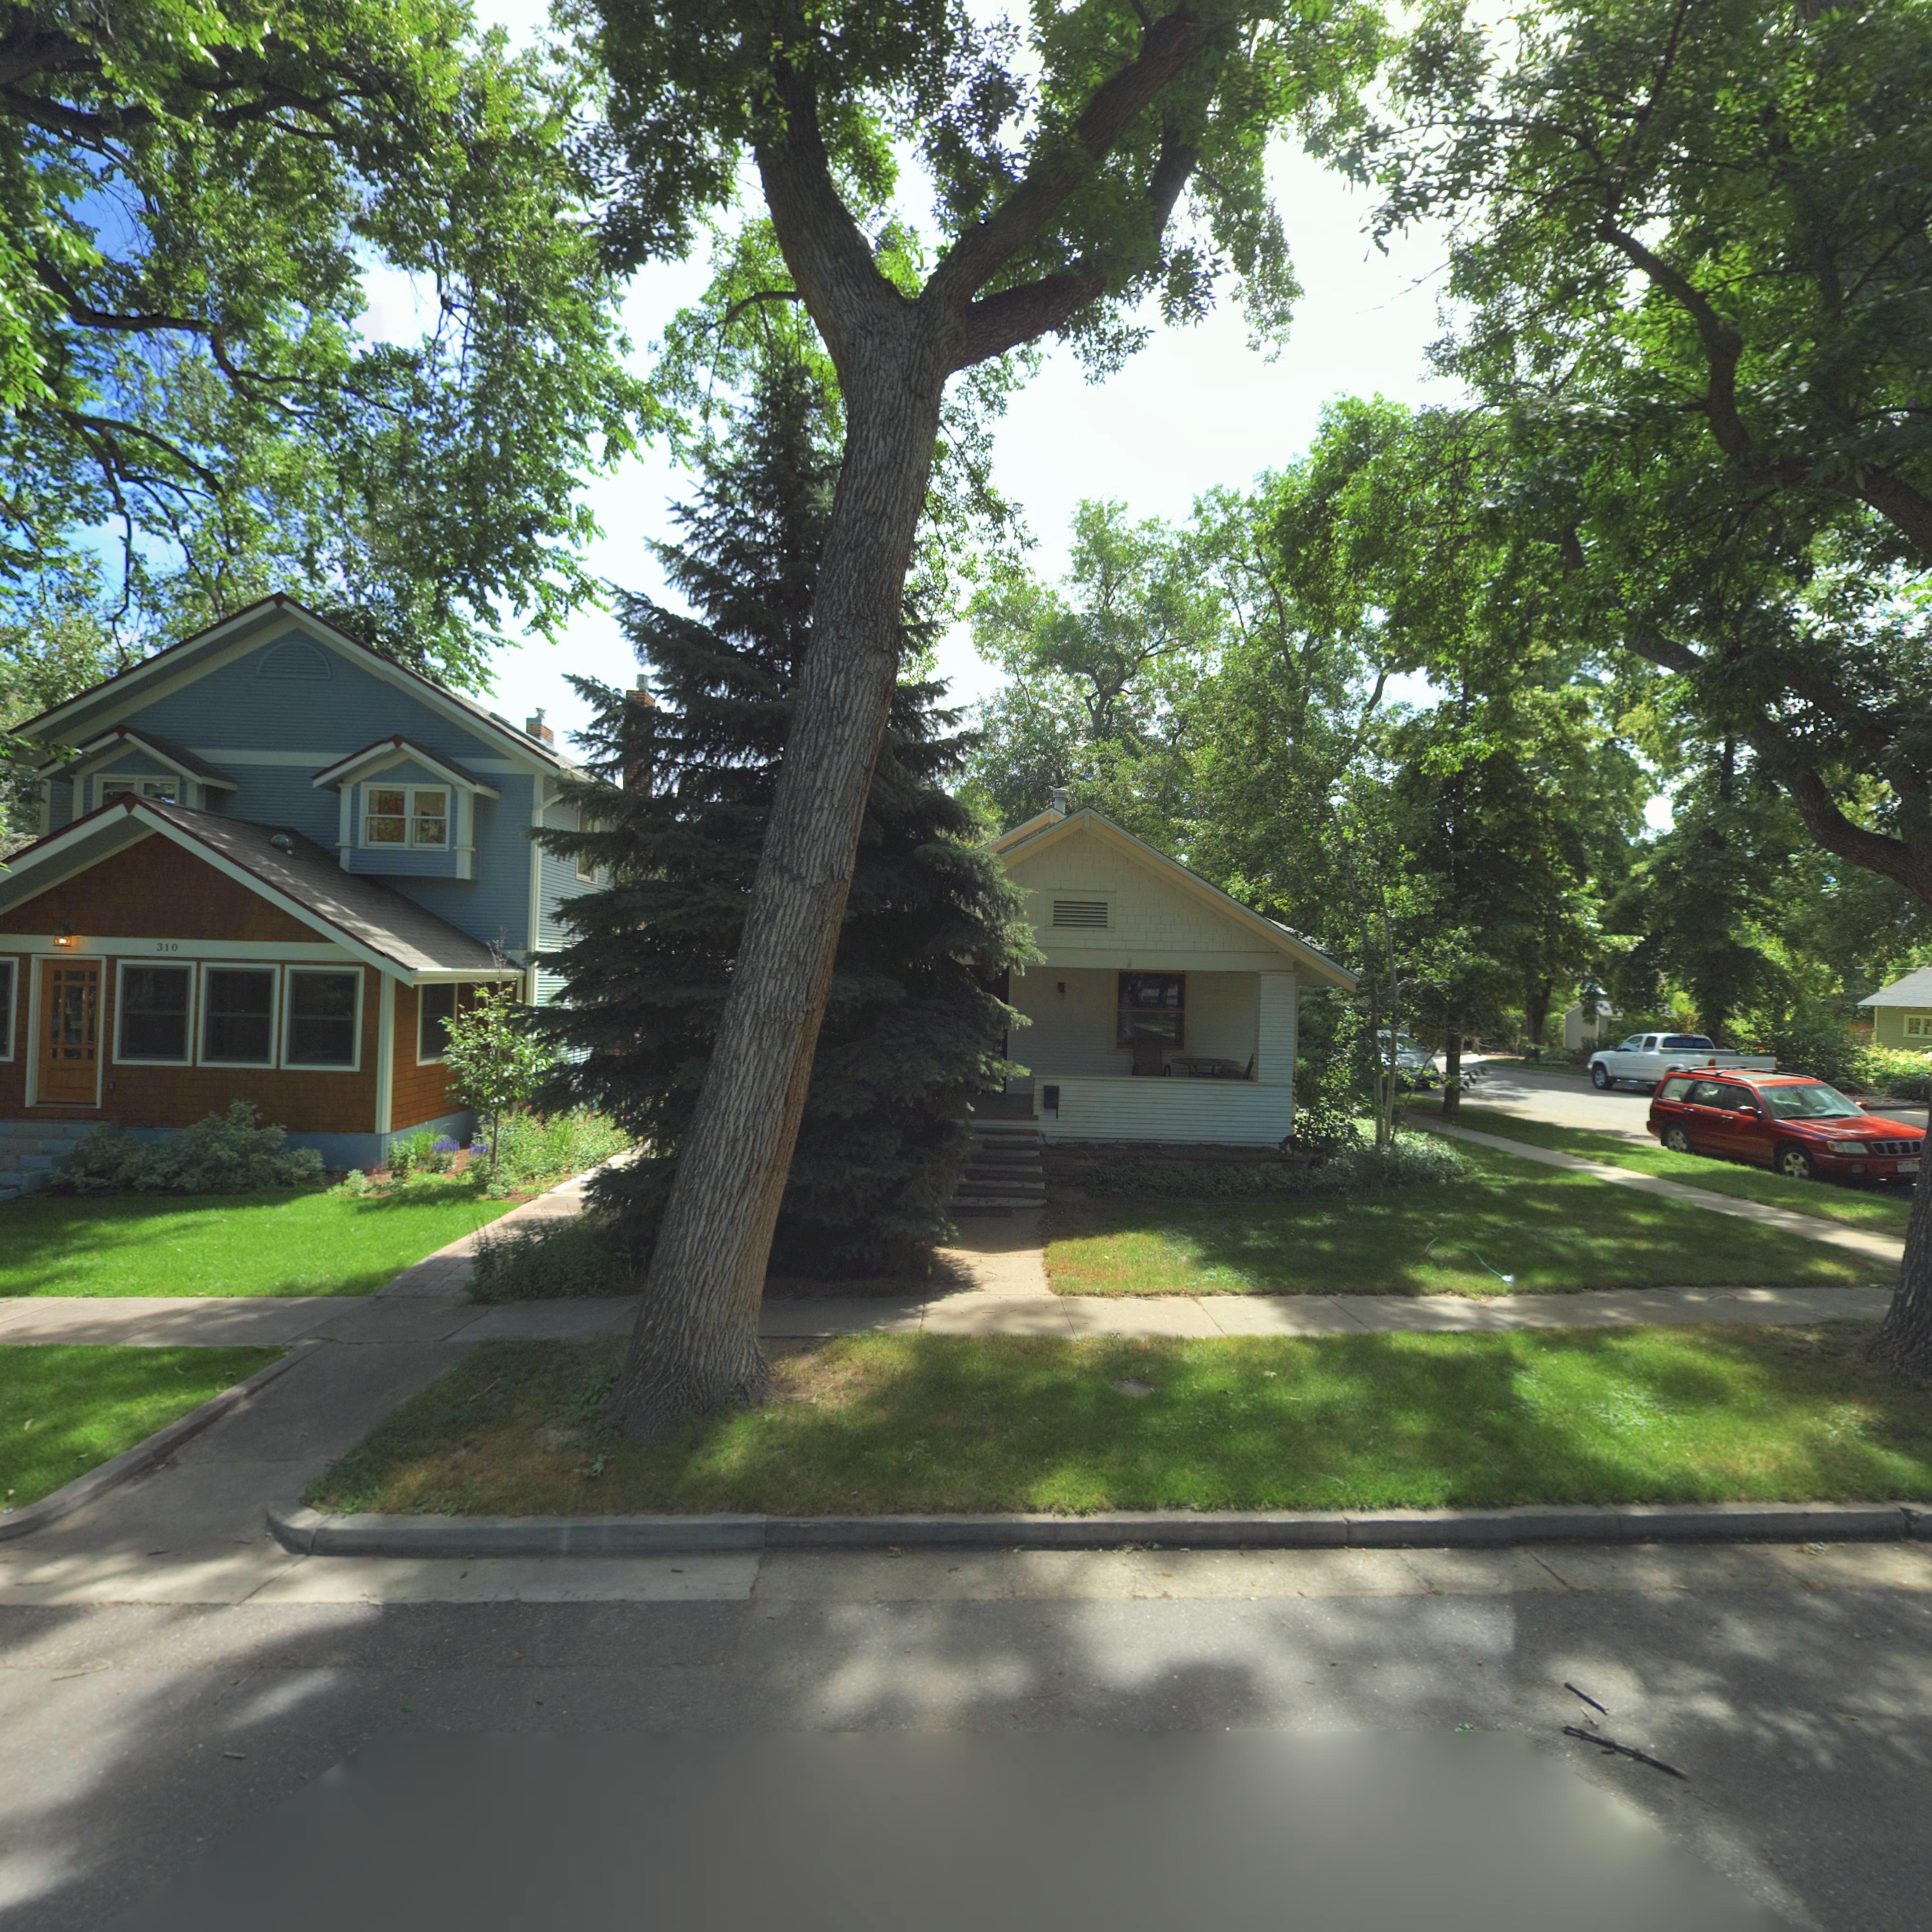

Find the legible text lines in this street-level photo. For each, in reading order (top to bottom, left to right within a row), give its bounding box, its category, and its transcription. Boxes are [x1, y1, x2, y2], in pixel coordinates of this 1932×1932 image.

[156, 942, 177, 951] StreetNumber: 310